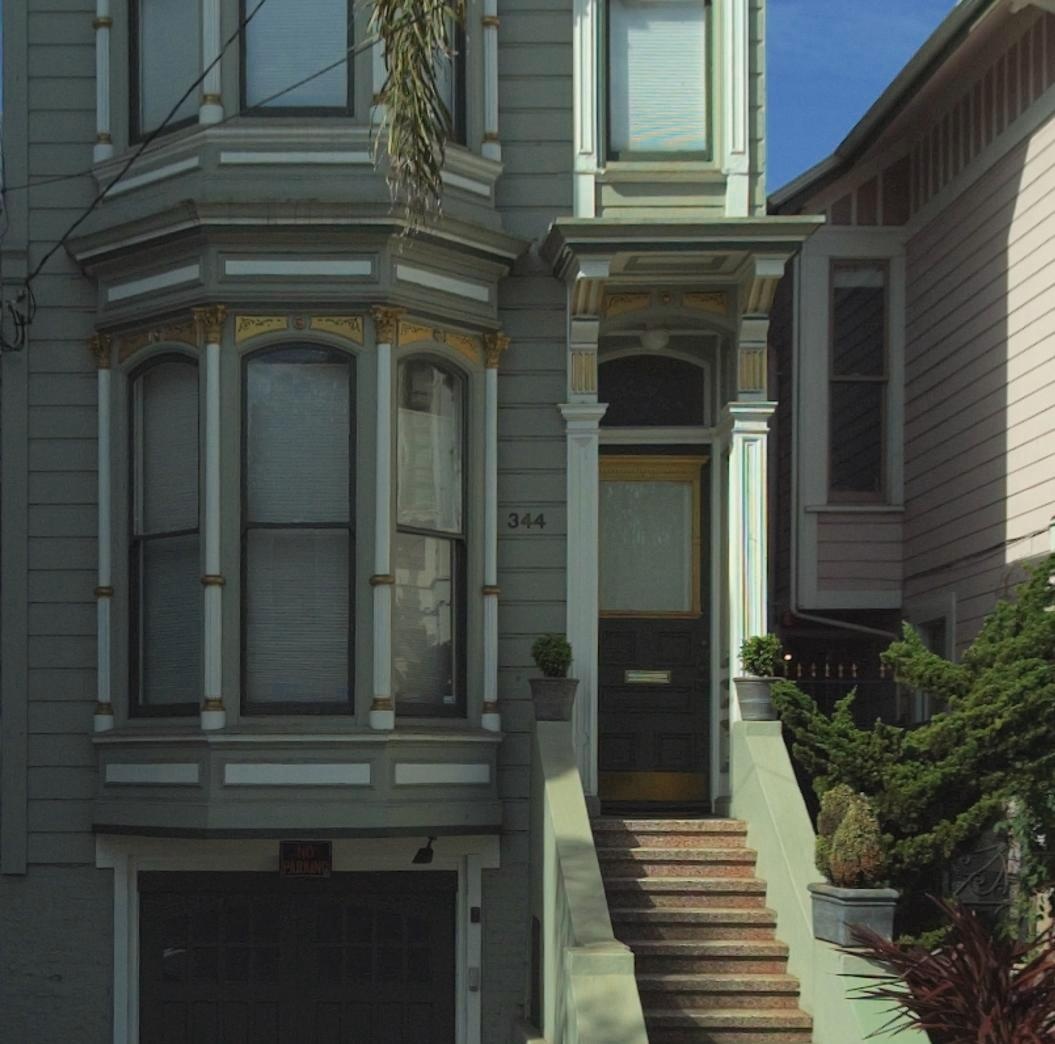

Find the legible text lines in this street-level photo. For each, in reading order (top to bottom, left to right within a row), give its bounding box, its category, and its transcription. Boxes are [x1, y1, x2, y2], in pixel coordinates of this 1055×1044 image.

[506, 511, 547, 530] StreetNumber: 344